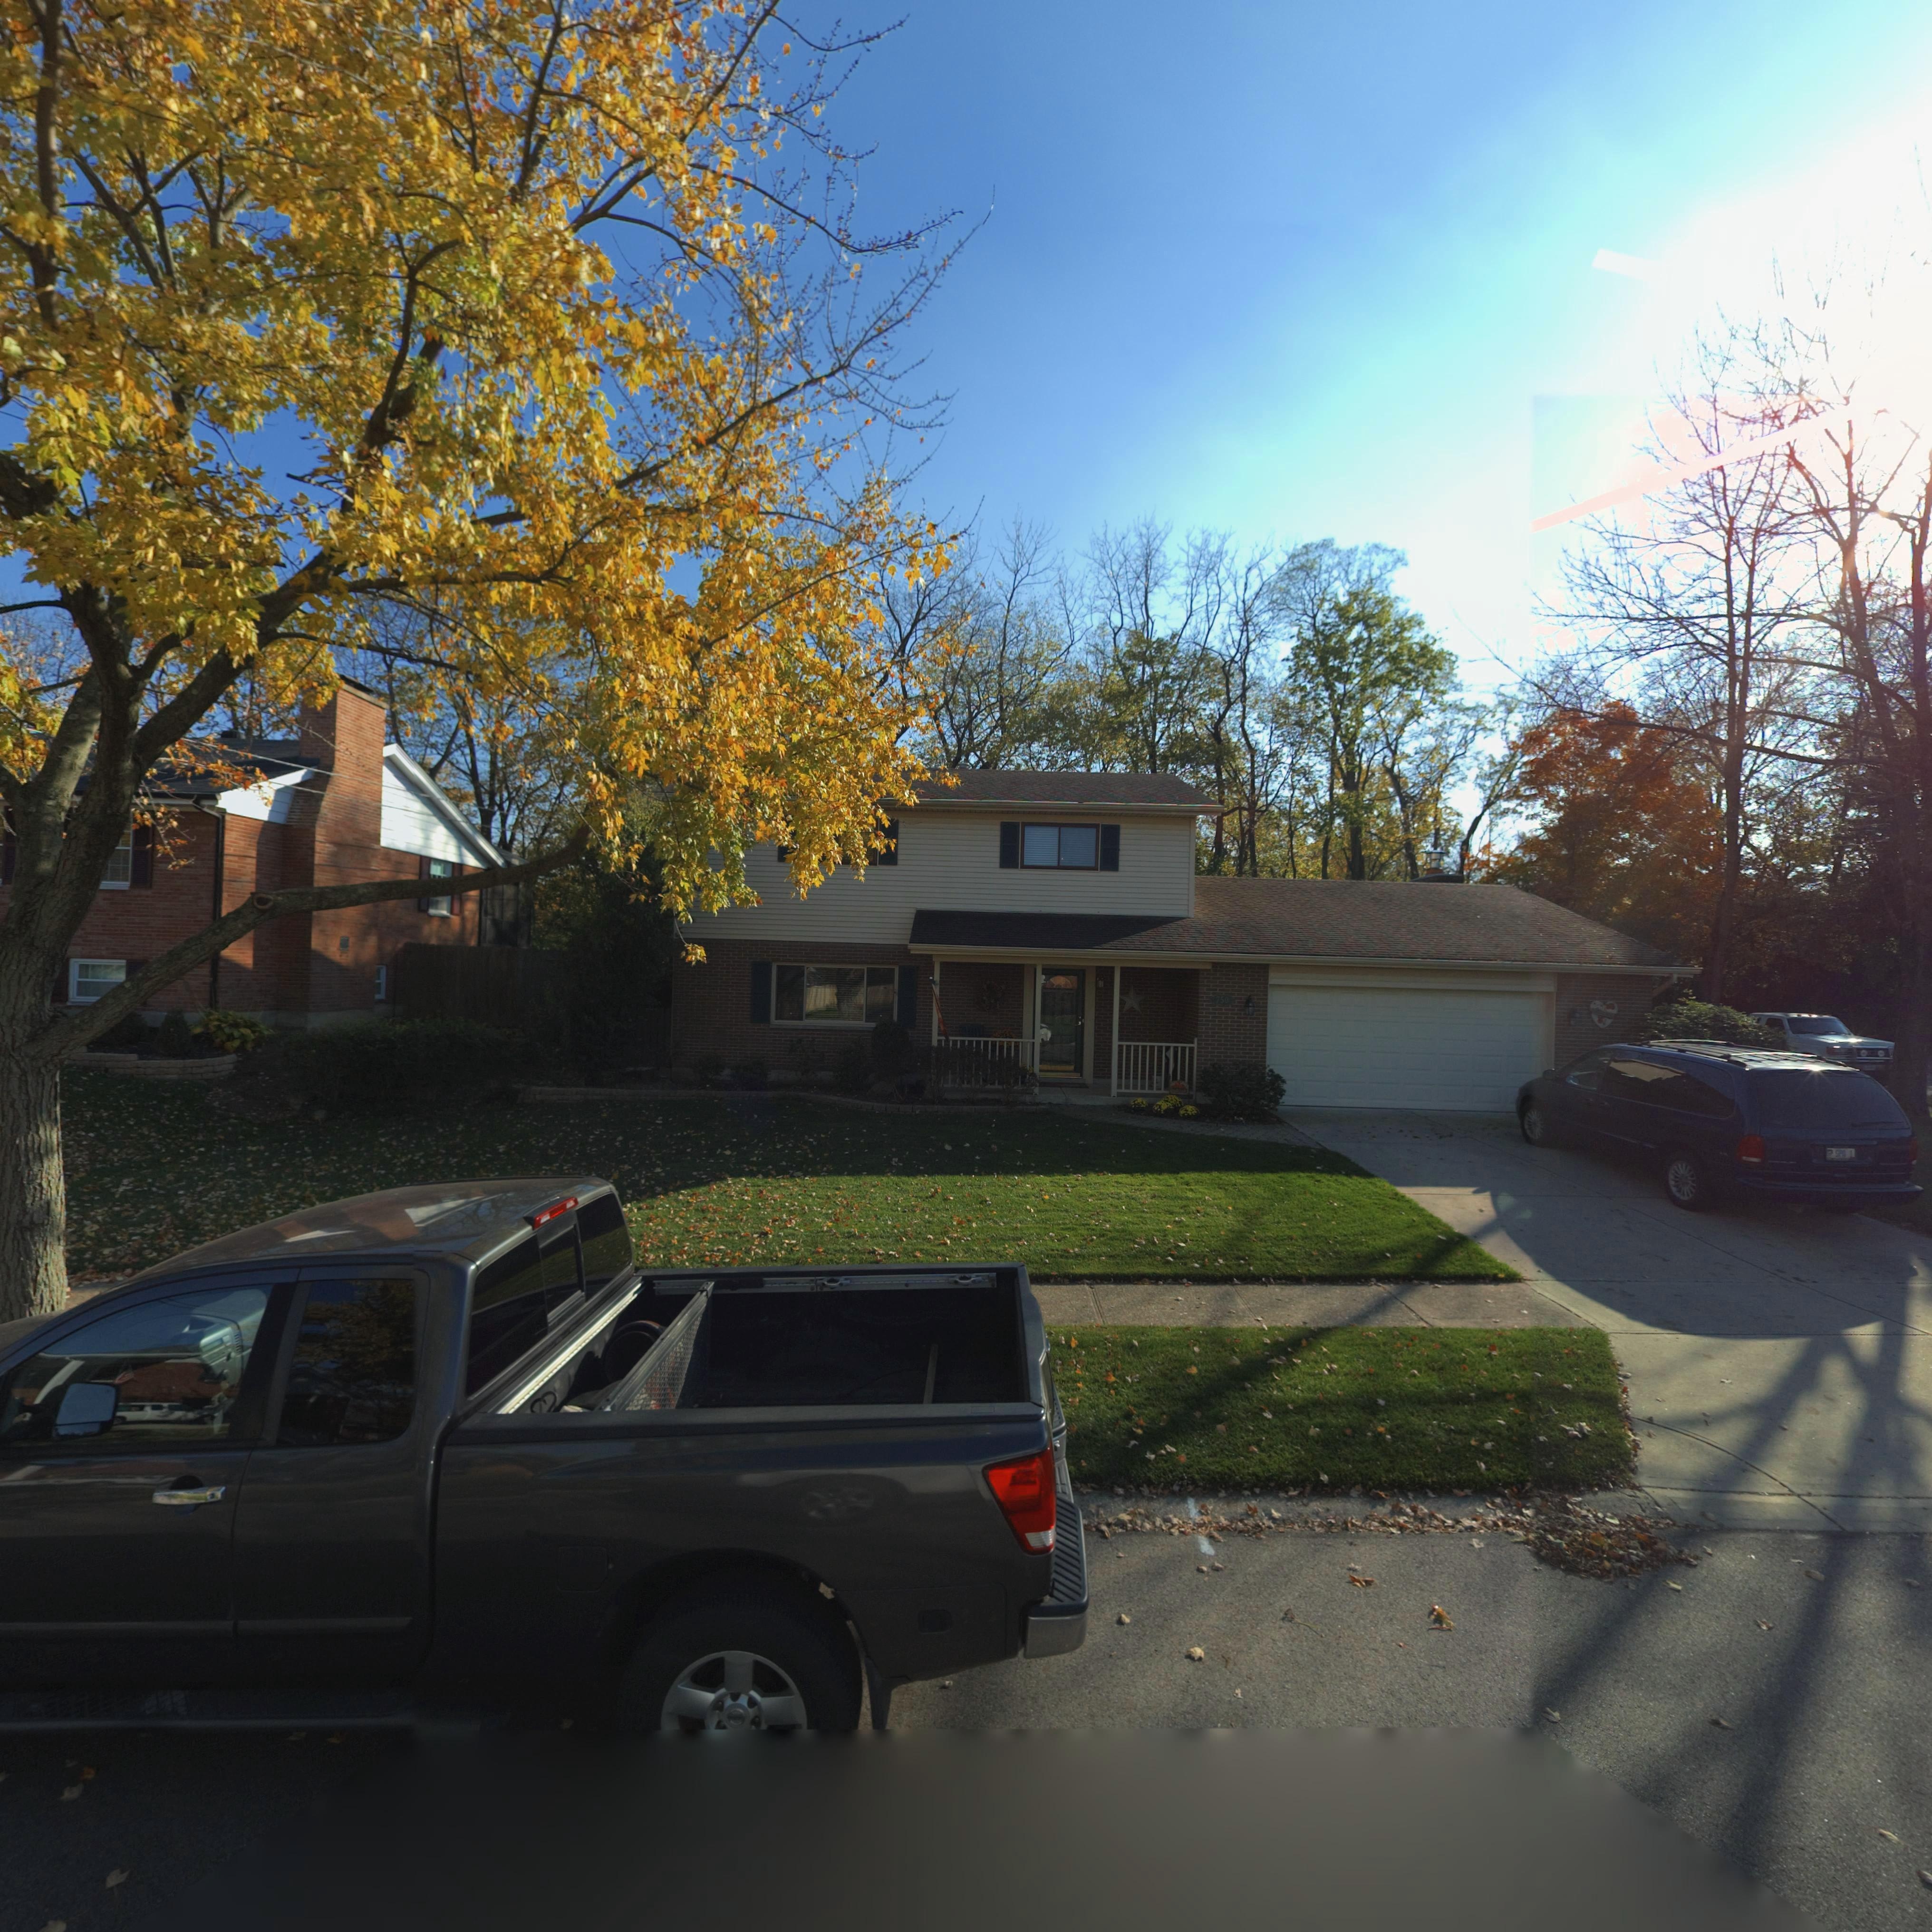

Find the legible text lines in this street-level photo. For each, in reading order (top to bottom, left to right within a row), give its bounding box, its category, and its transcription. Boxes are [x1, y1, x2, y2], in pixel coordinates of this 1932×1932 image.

[1215, 995, 1229, 1005] StreetNumber: 750